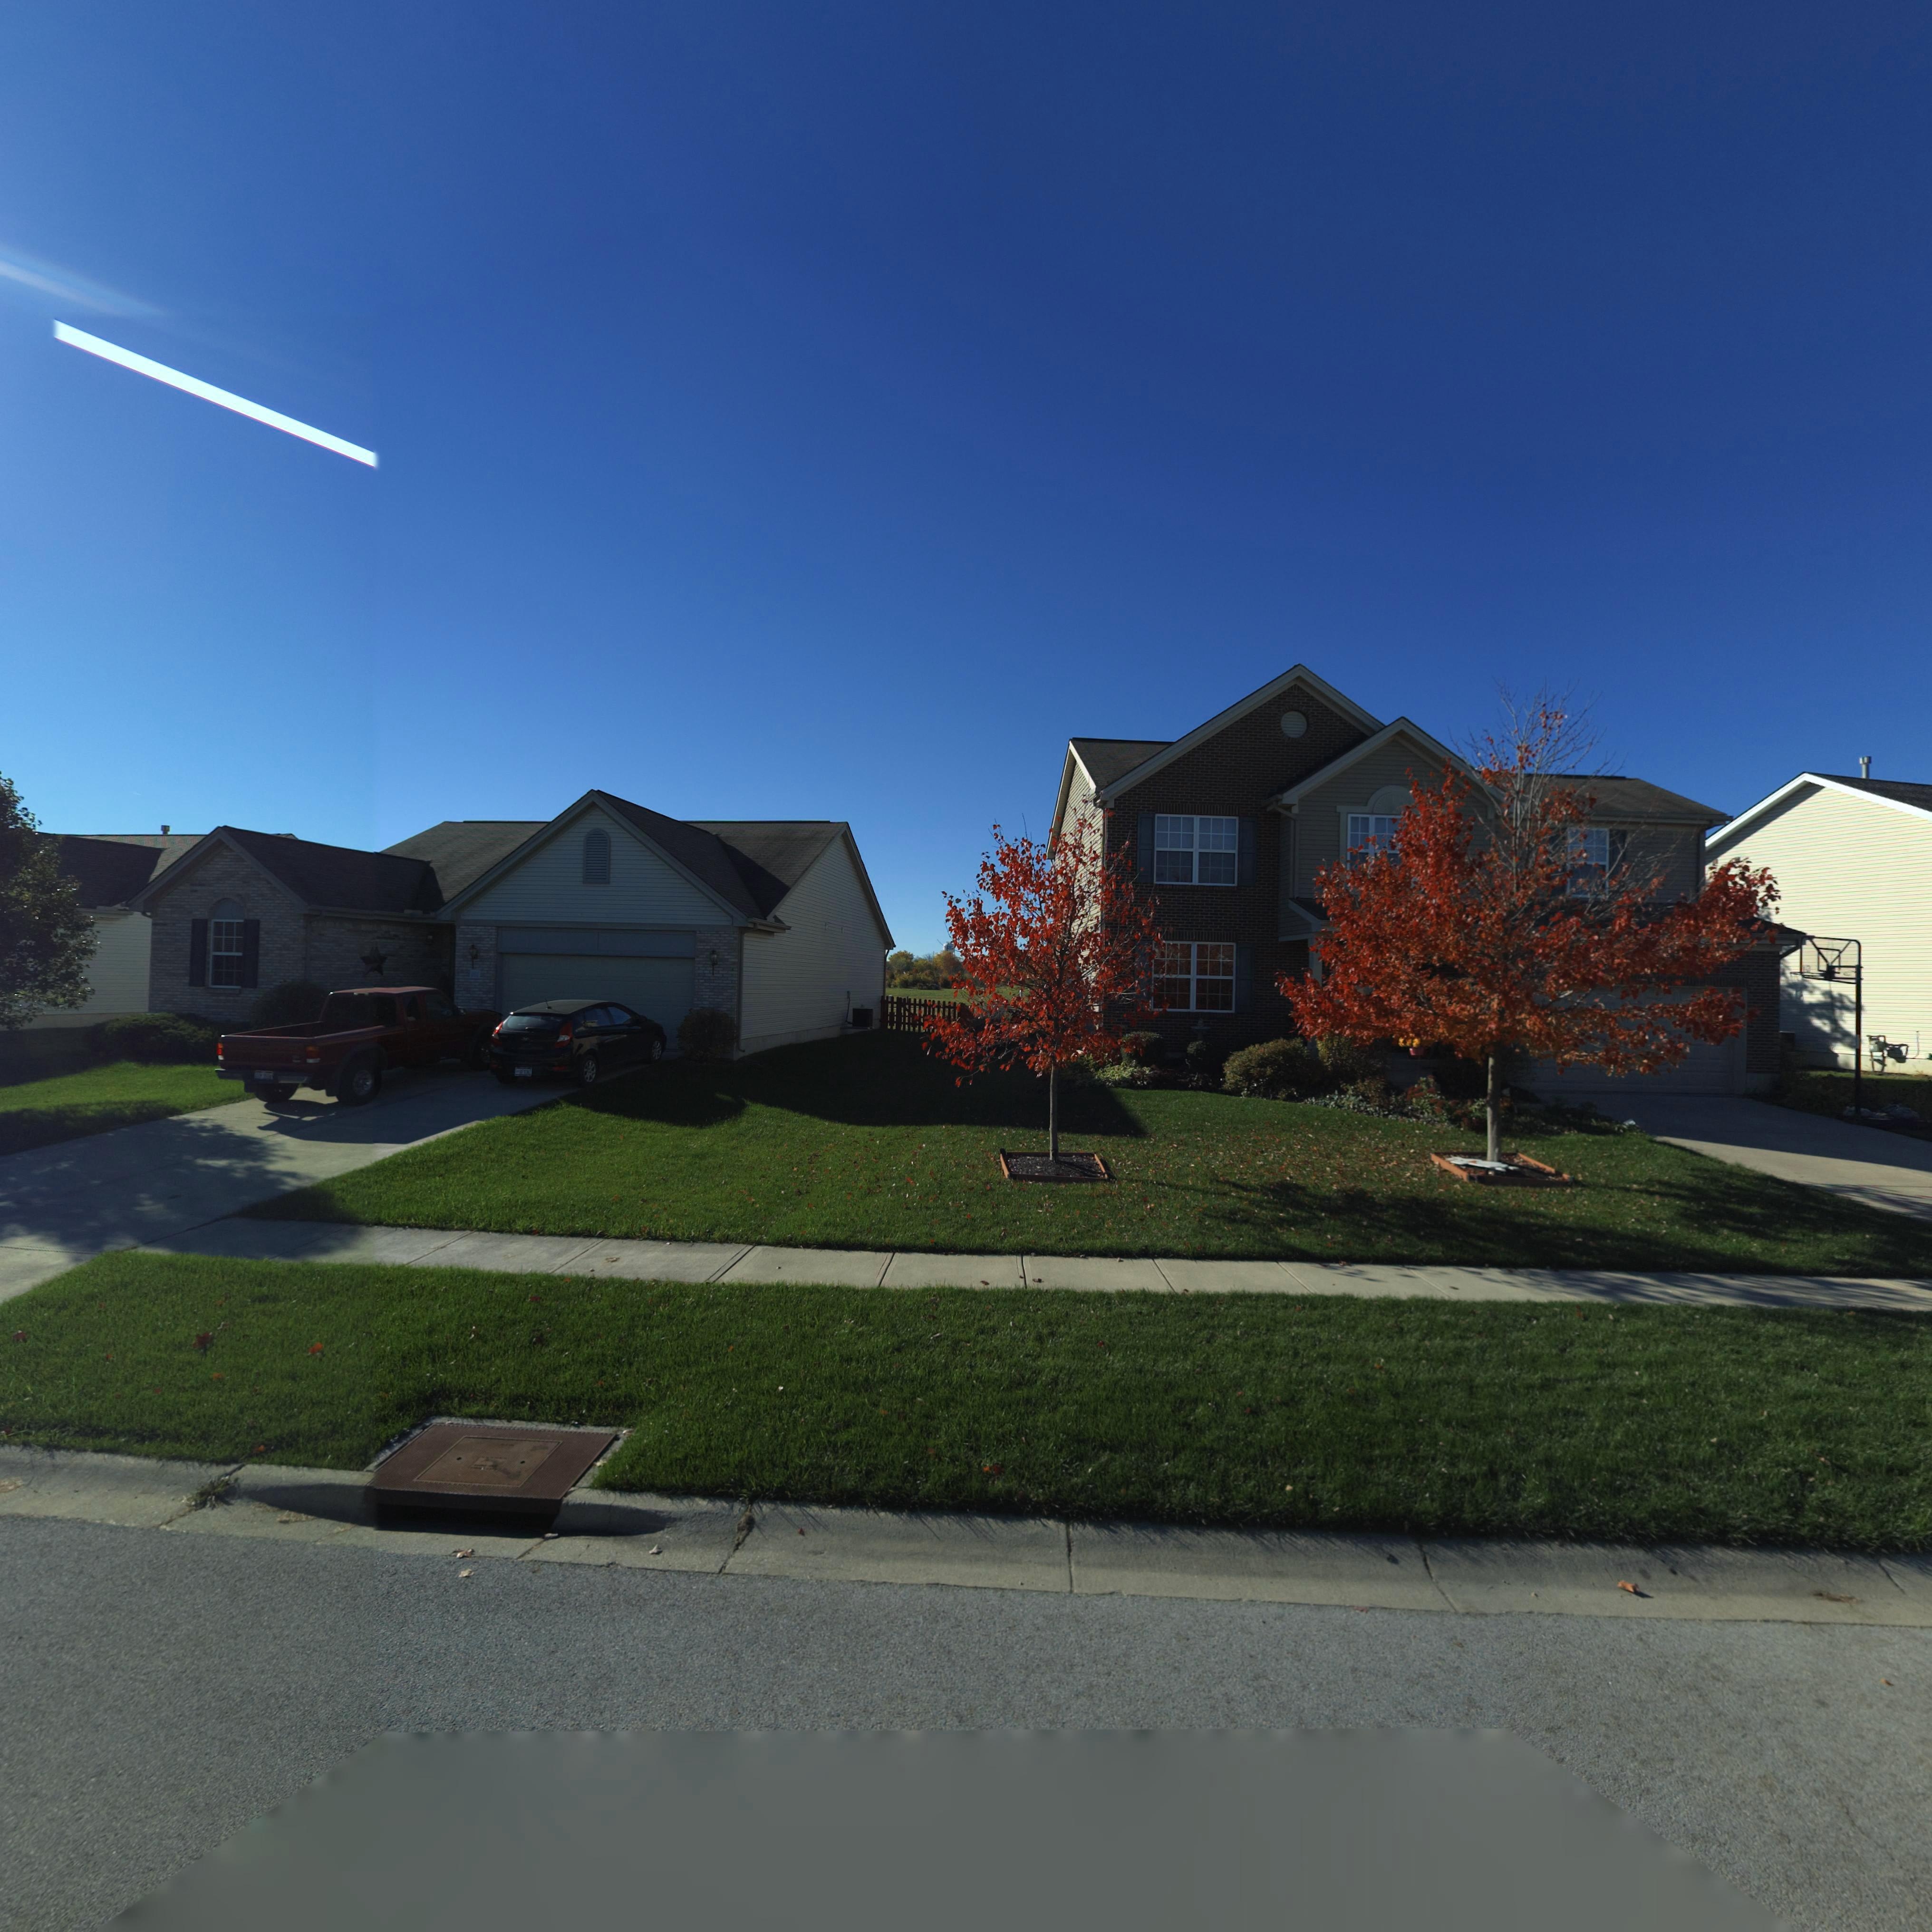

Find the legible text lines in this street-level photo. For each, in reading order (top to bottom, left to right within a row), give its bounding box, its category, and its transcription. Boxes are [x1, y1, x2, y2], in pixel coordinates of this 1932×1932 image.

[470, 969, 479, 977] StreetNumber: 181